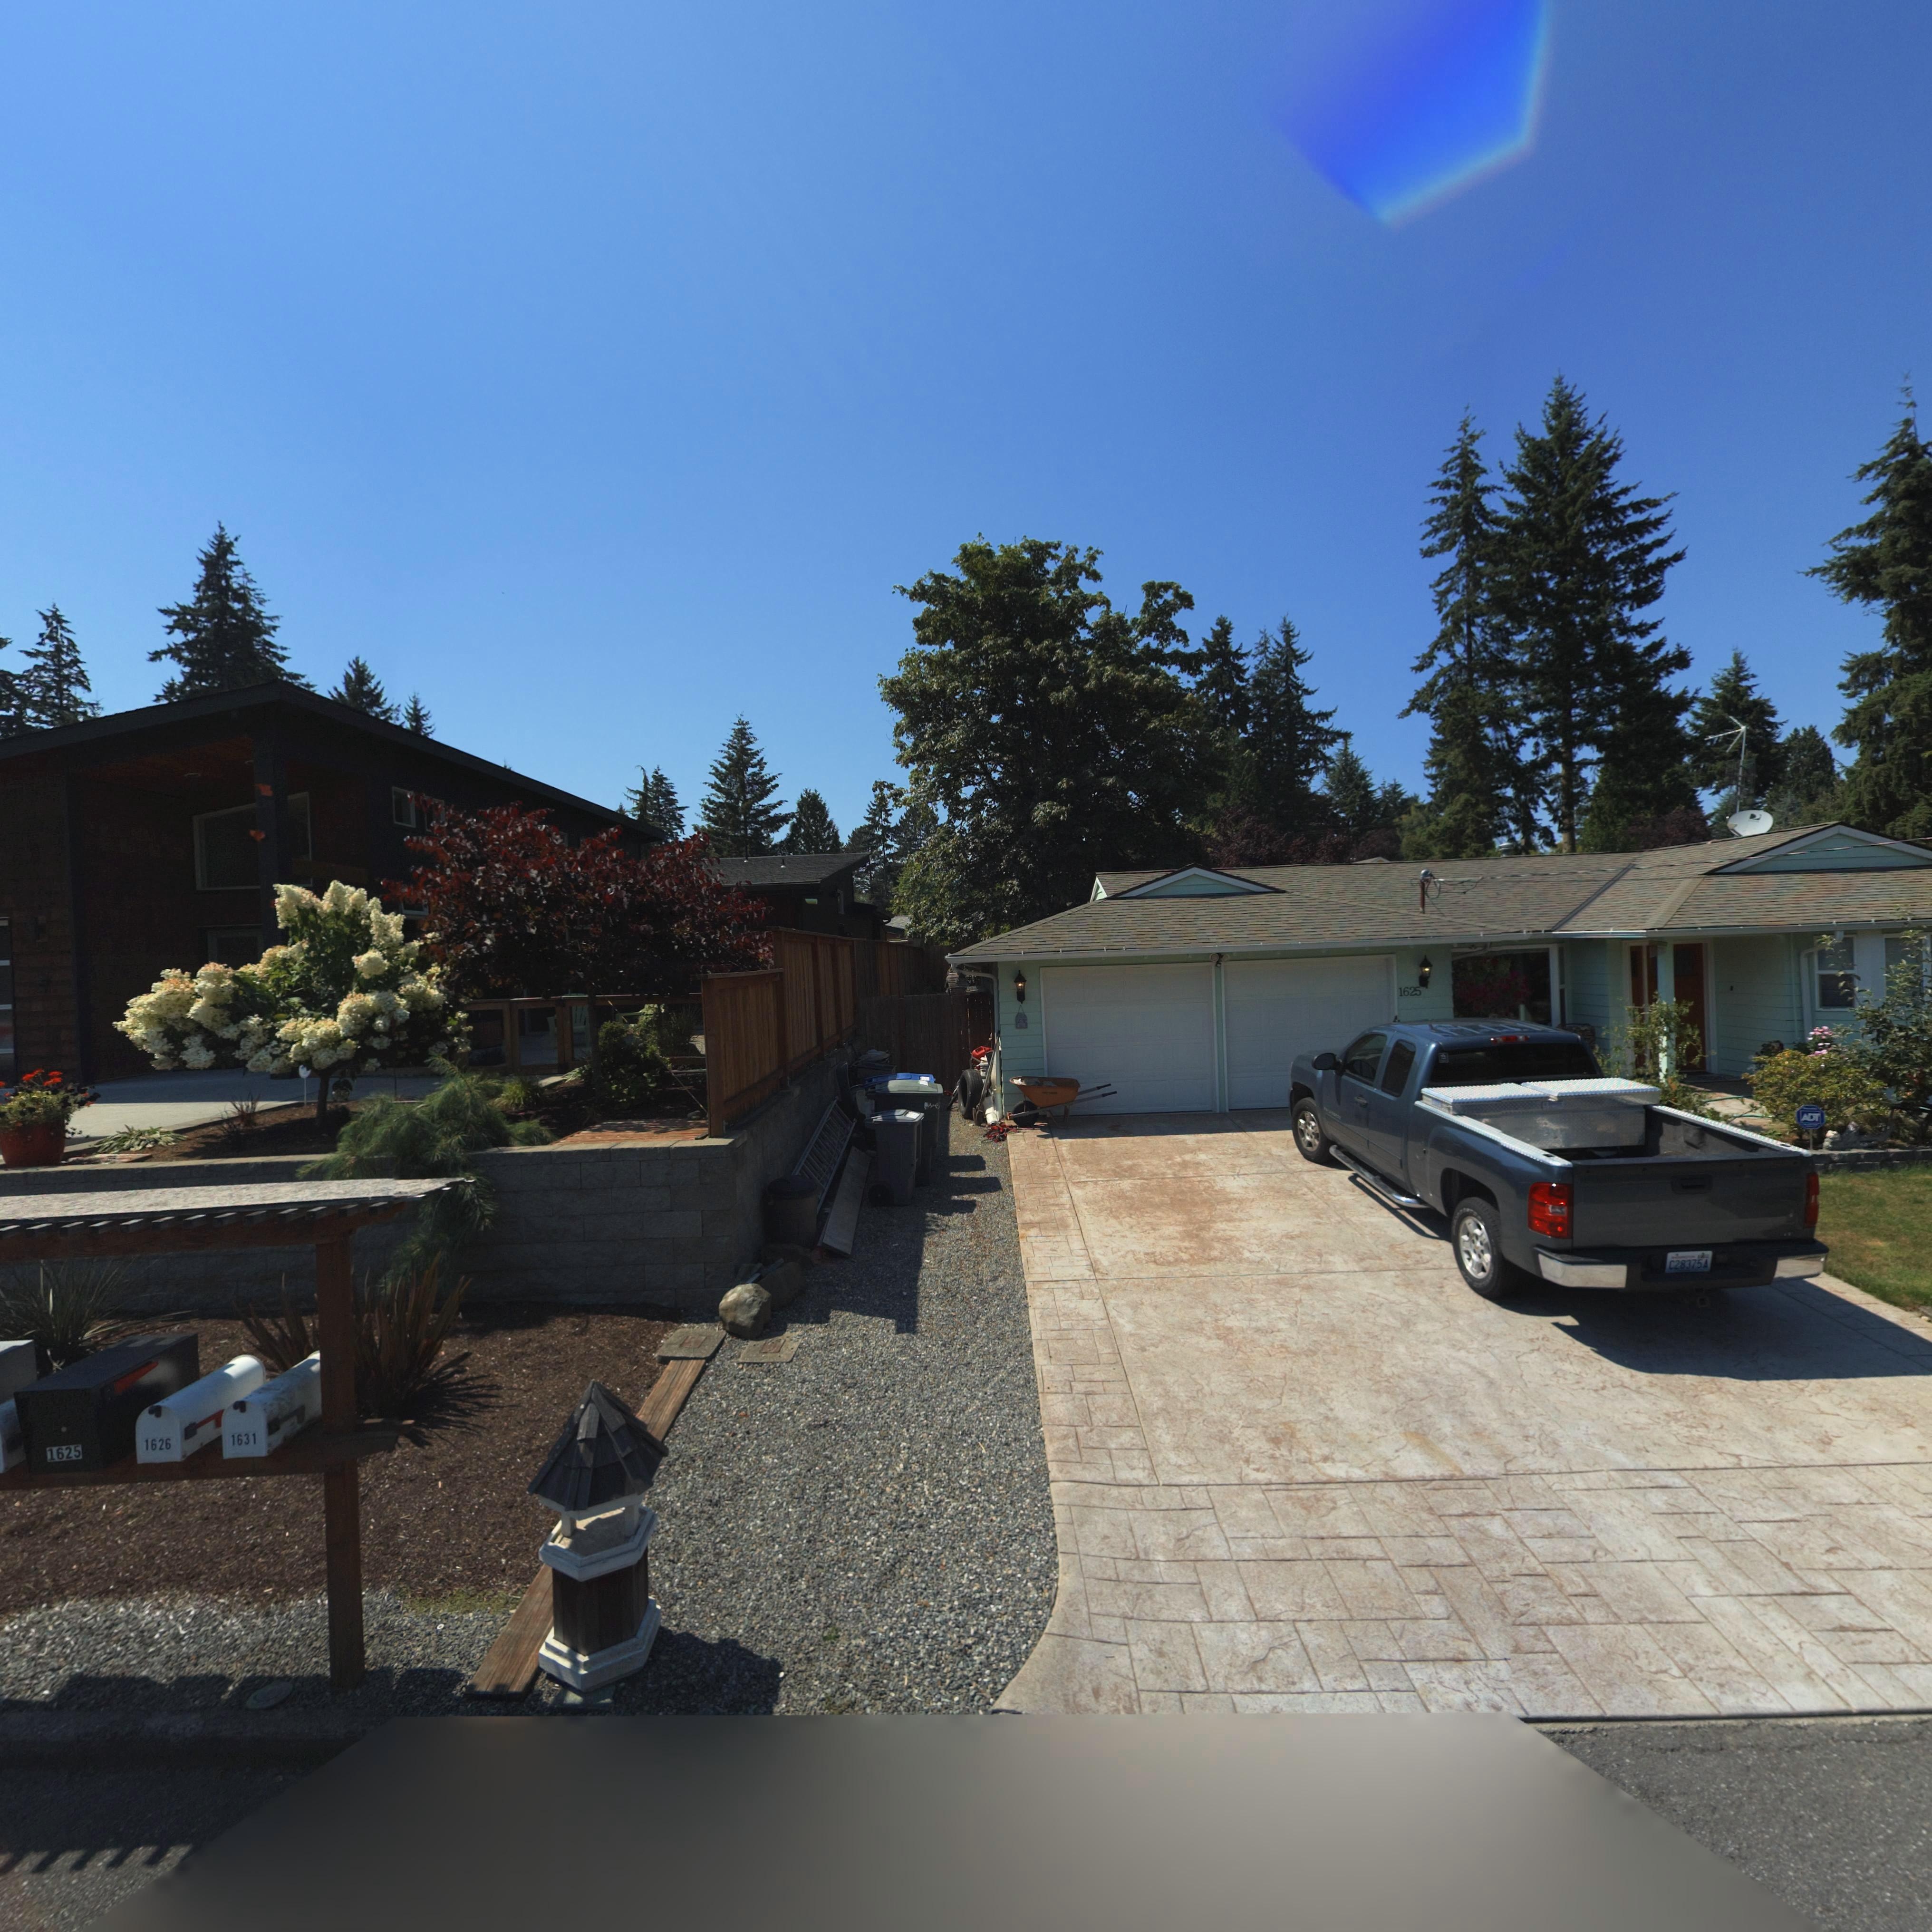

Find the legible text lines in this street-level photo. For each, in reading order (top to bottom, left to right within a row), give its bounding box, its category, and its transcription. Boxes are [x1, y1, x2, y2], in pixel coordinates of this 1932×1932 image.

[1399, 986, 1421, 996] StreetNumber: 1625
[143, 1437, 172, 1452] StreetNumber: 1626
[232, 1433, 256, 1445] StreetNumber: 1631
[46, 1443, 81, 1462] StreetNumber: 1625